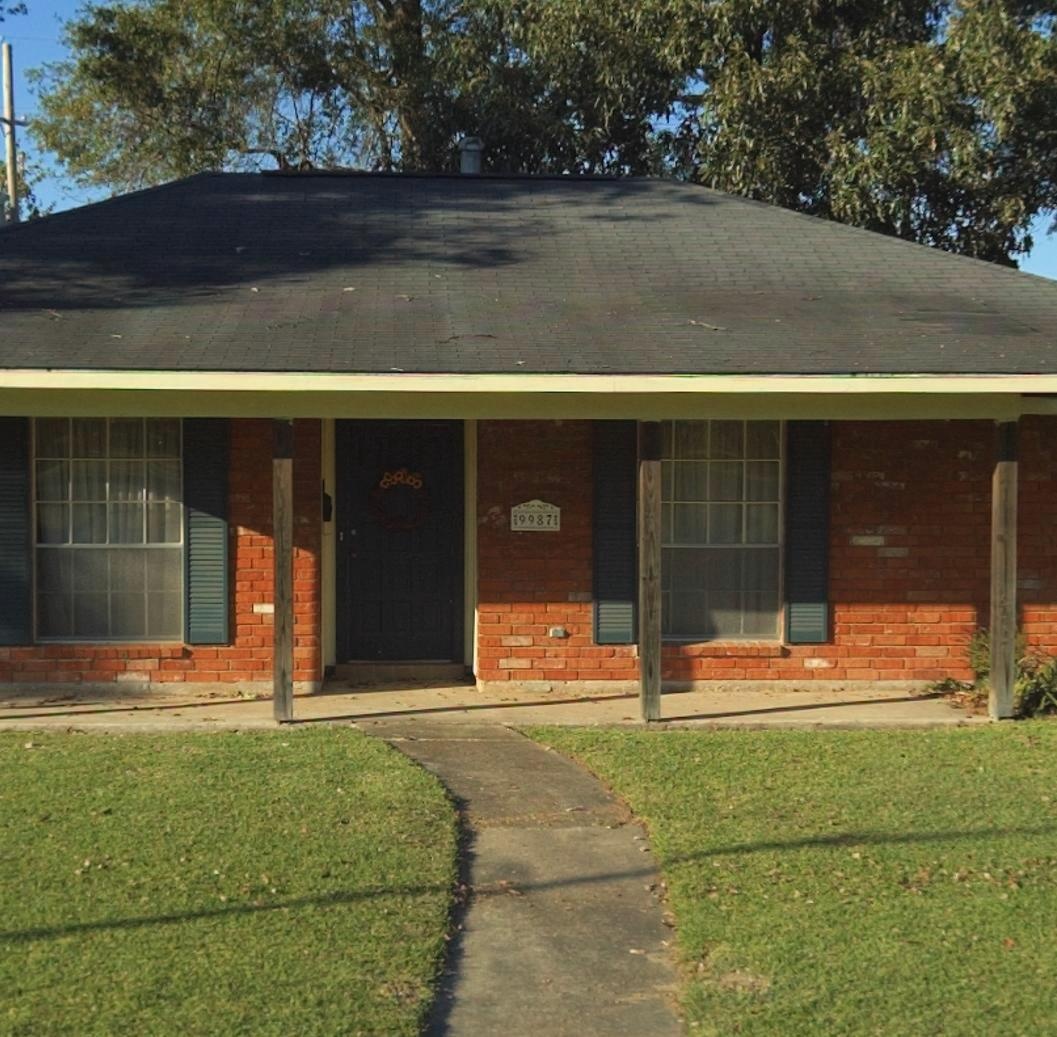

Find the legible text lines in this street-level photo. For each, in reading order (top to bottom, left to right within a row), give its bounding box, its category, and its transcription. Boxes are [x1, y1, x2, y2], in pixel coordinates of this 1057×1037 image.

[517, 514, 553, 526] StreetNumber: 9987